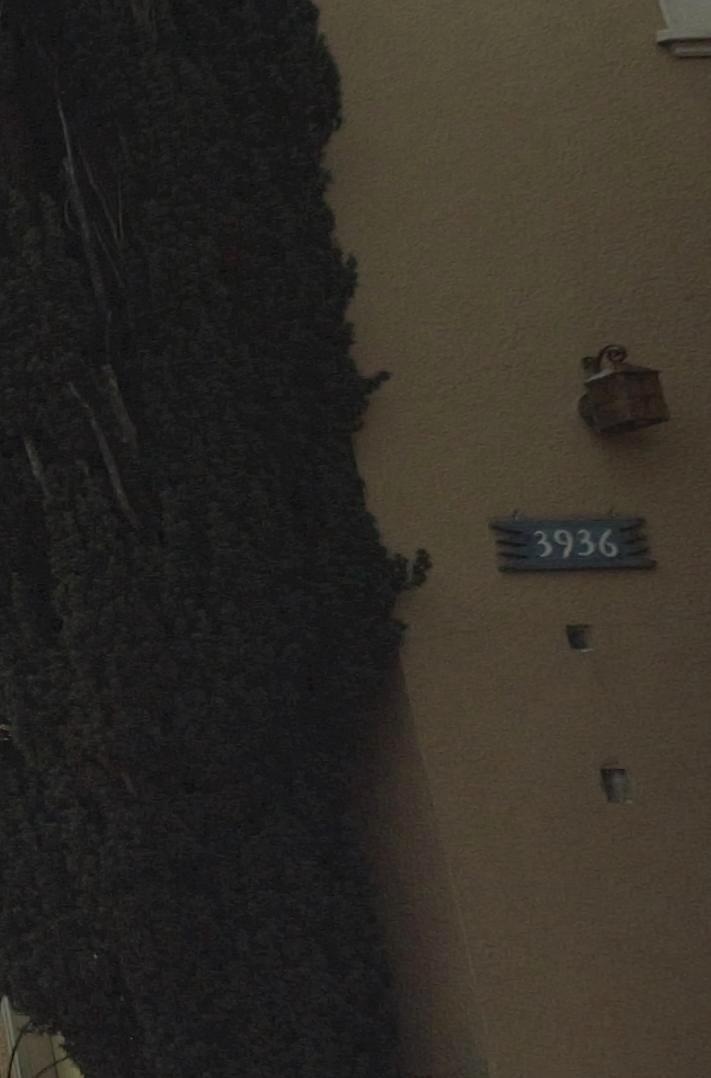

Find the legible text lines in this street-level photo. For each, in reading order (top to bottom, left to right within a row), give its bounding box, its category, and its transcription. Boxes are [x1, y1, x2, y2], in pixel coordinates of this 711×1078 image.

[531, 527, 620, 559] StreetNumber: 3936